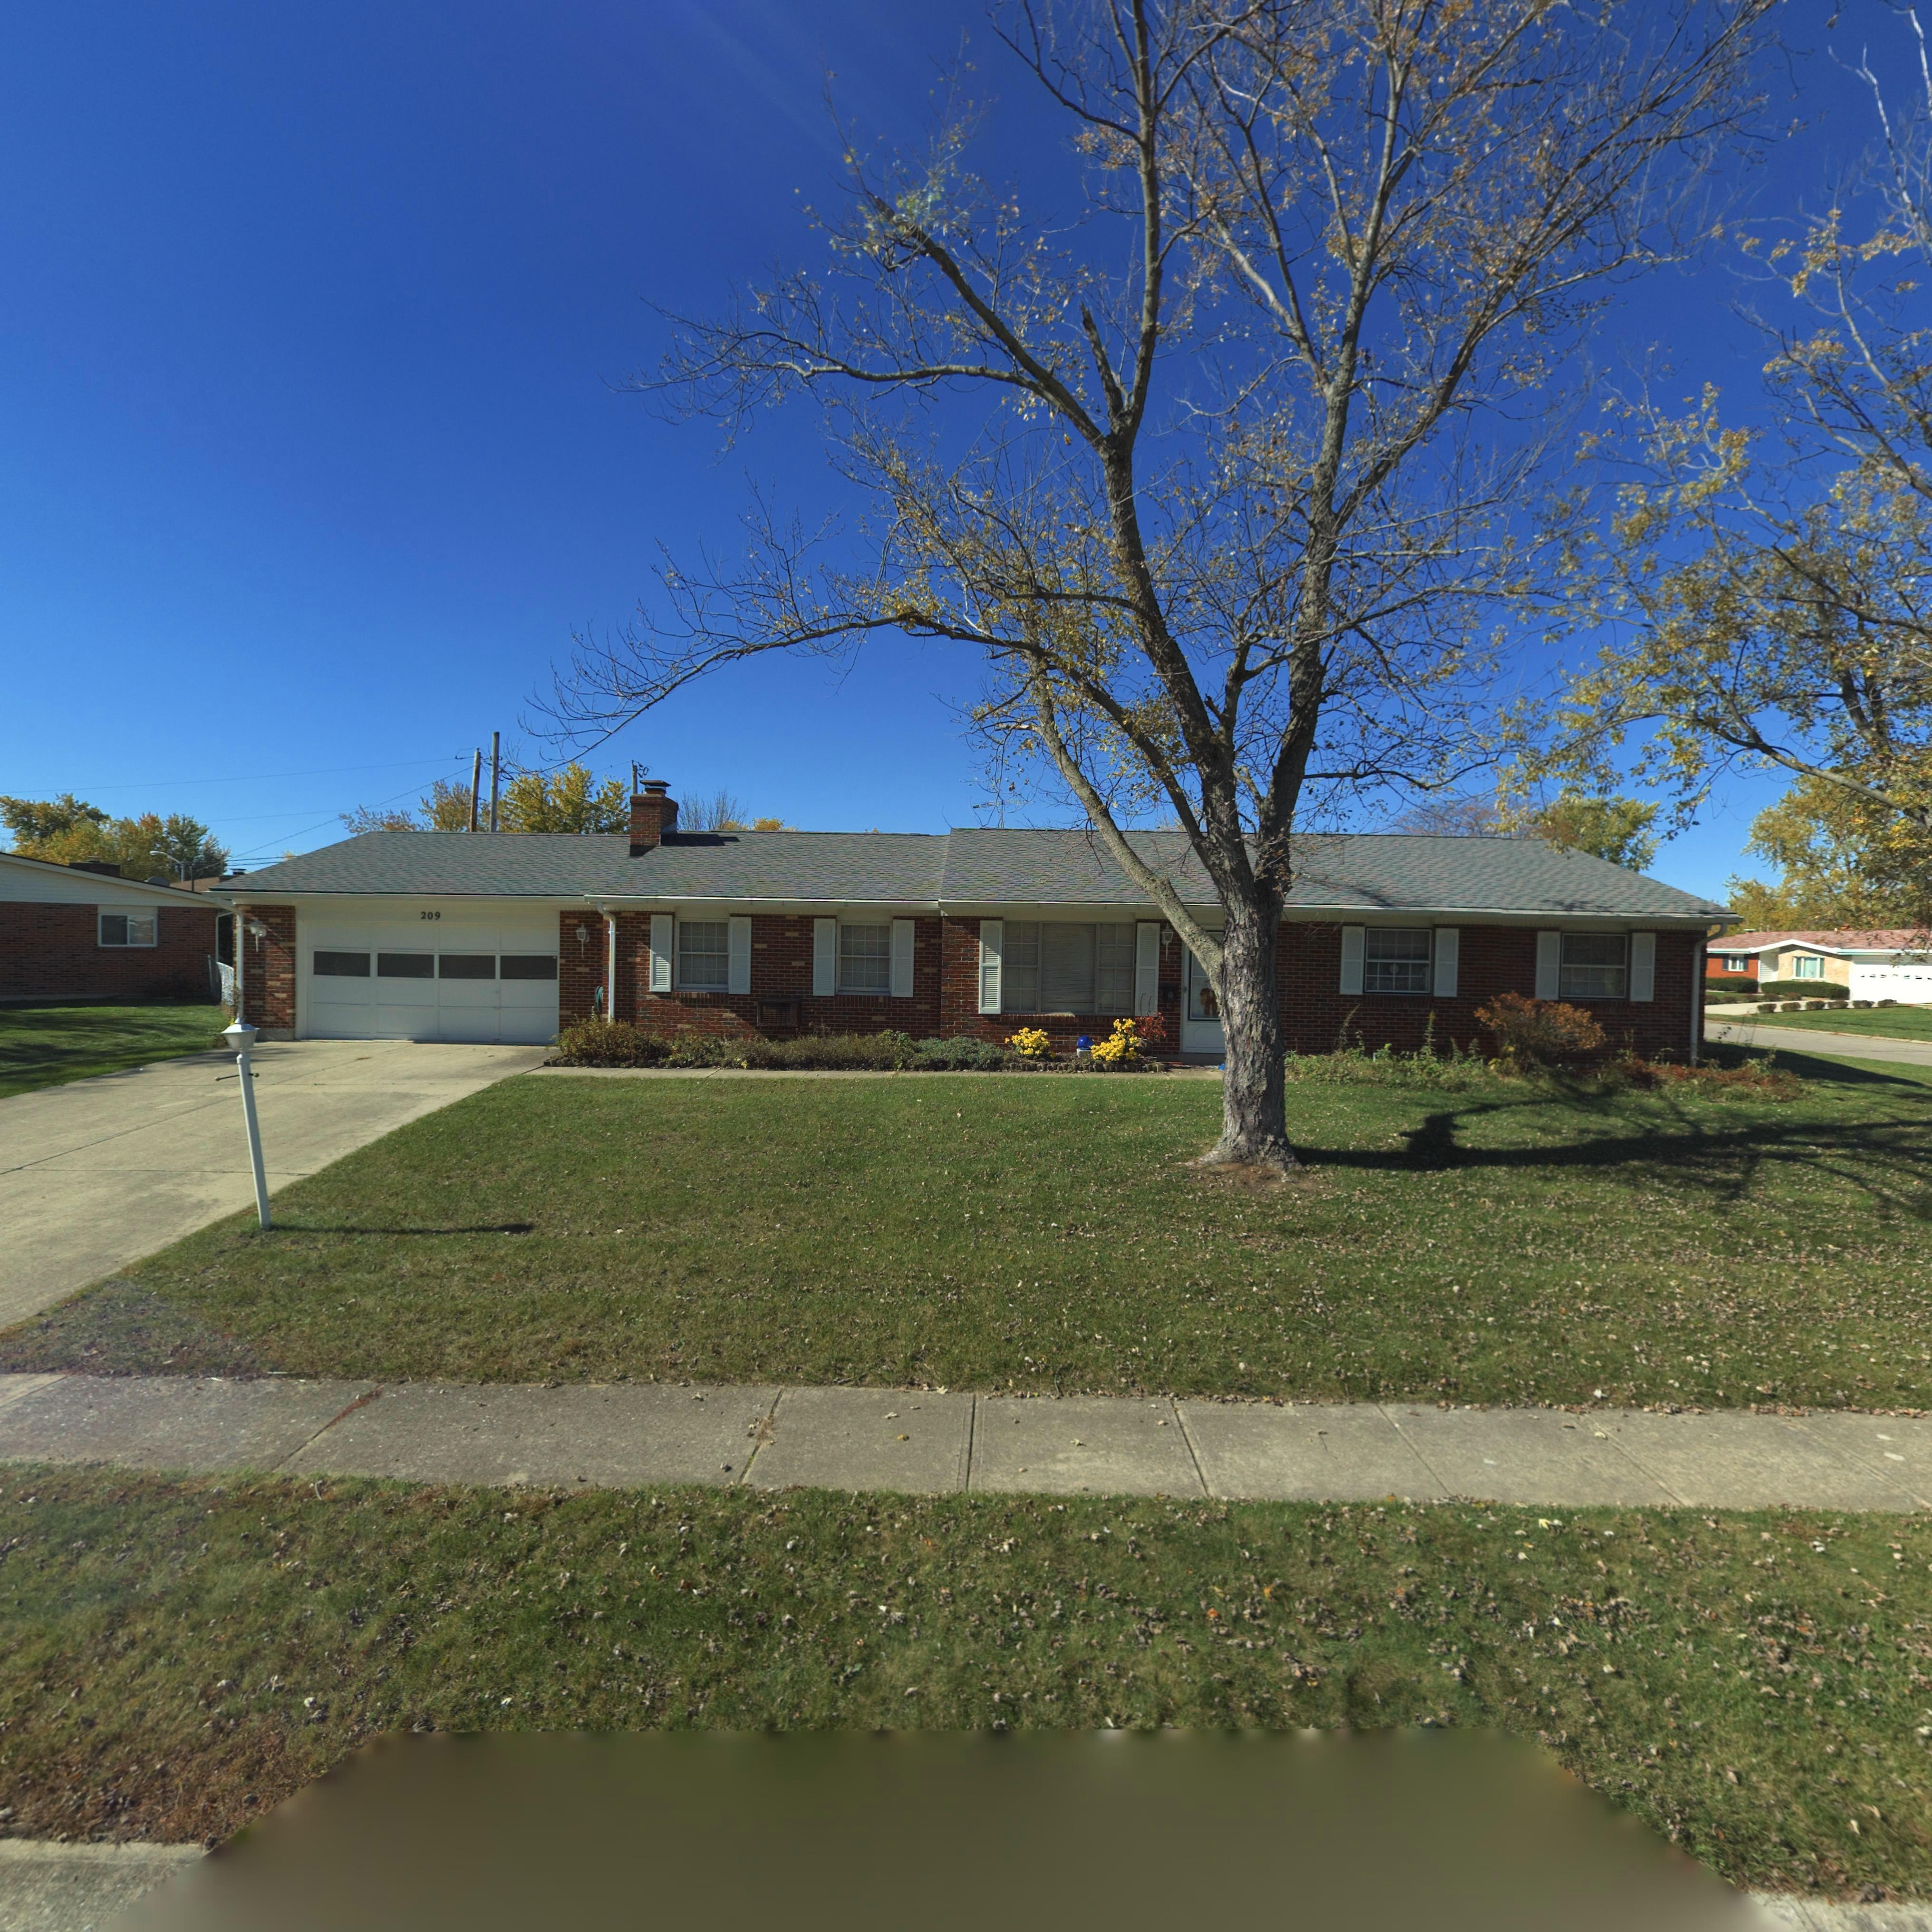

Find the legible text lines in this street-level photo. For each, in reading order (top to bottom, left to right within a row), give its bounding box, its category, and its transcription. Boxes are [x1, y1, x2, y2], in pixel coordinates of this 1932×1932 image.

[420, 911, 441, 920] StreetNumber: 209